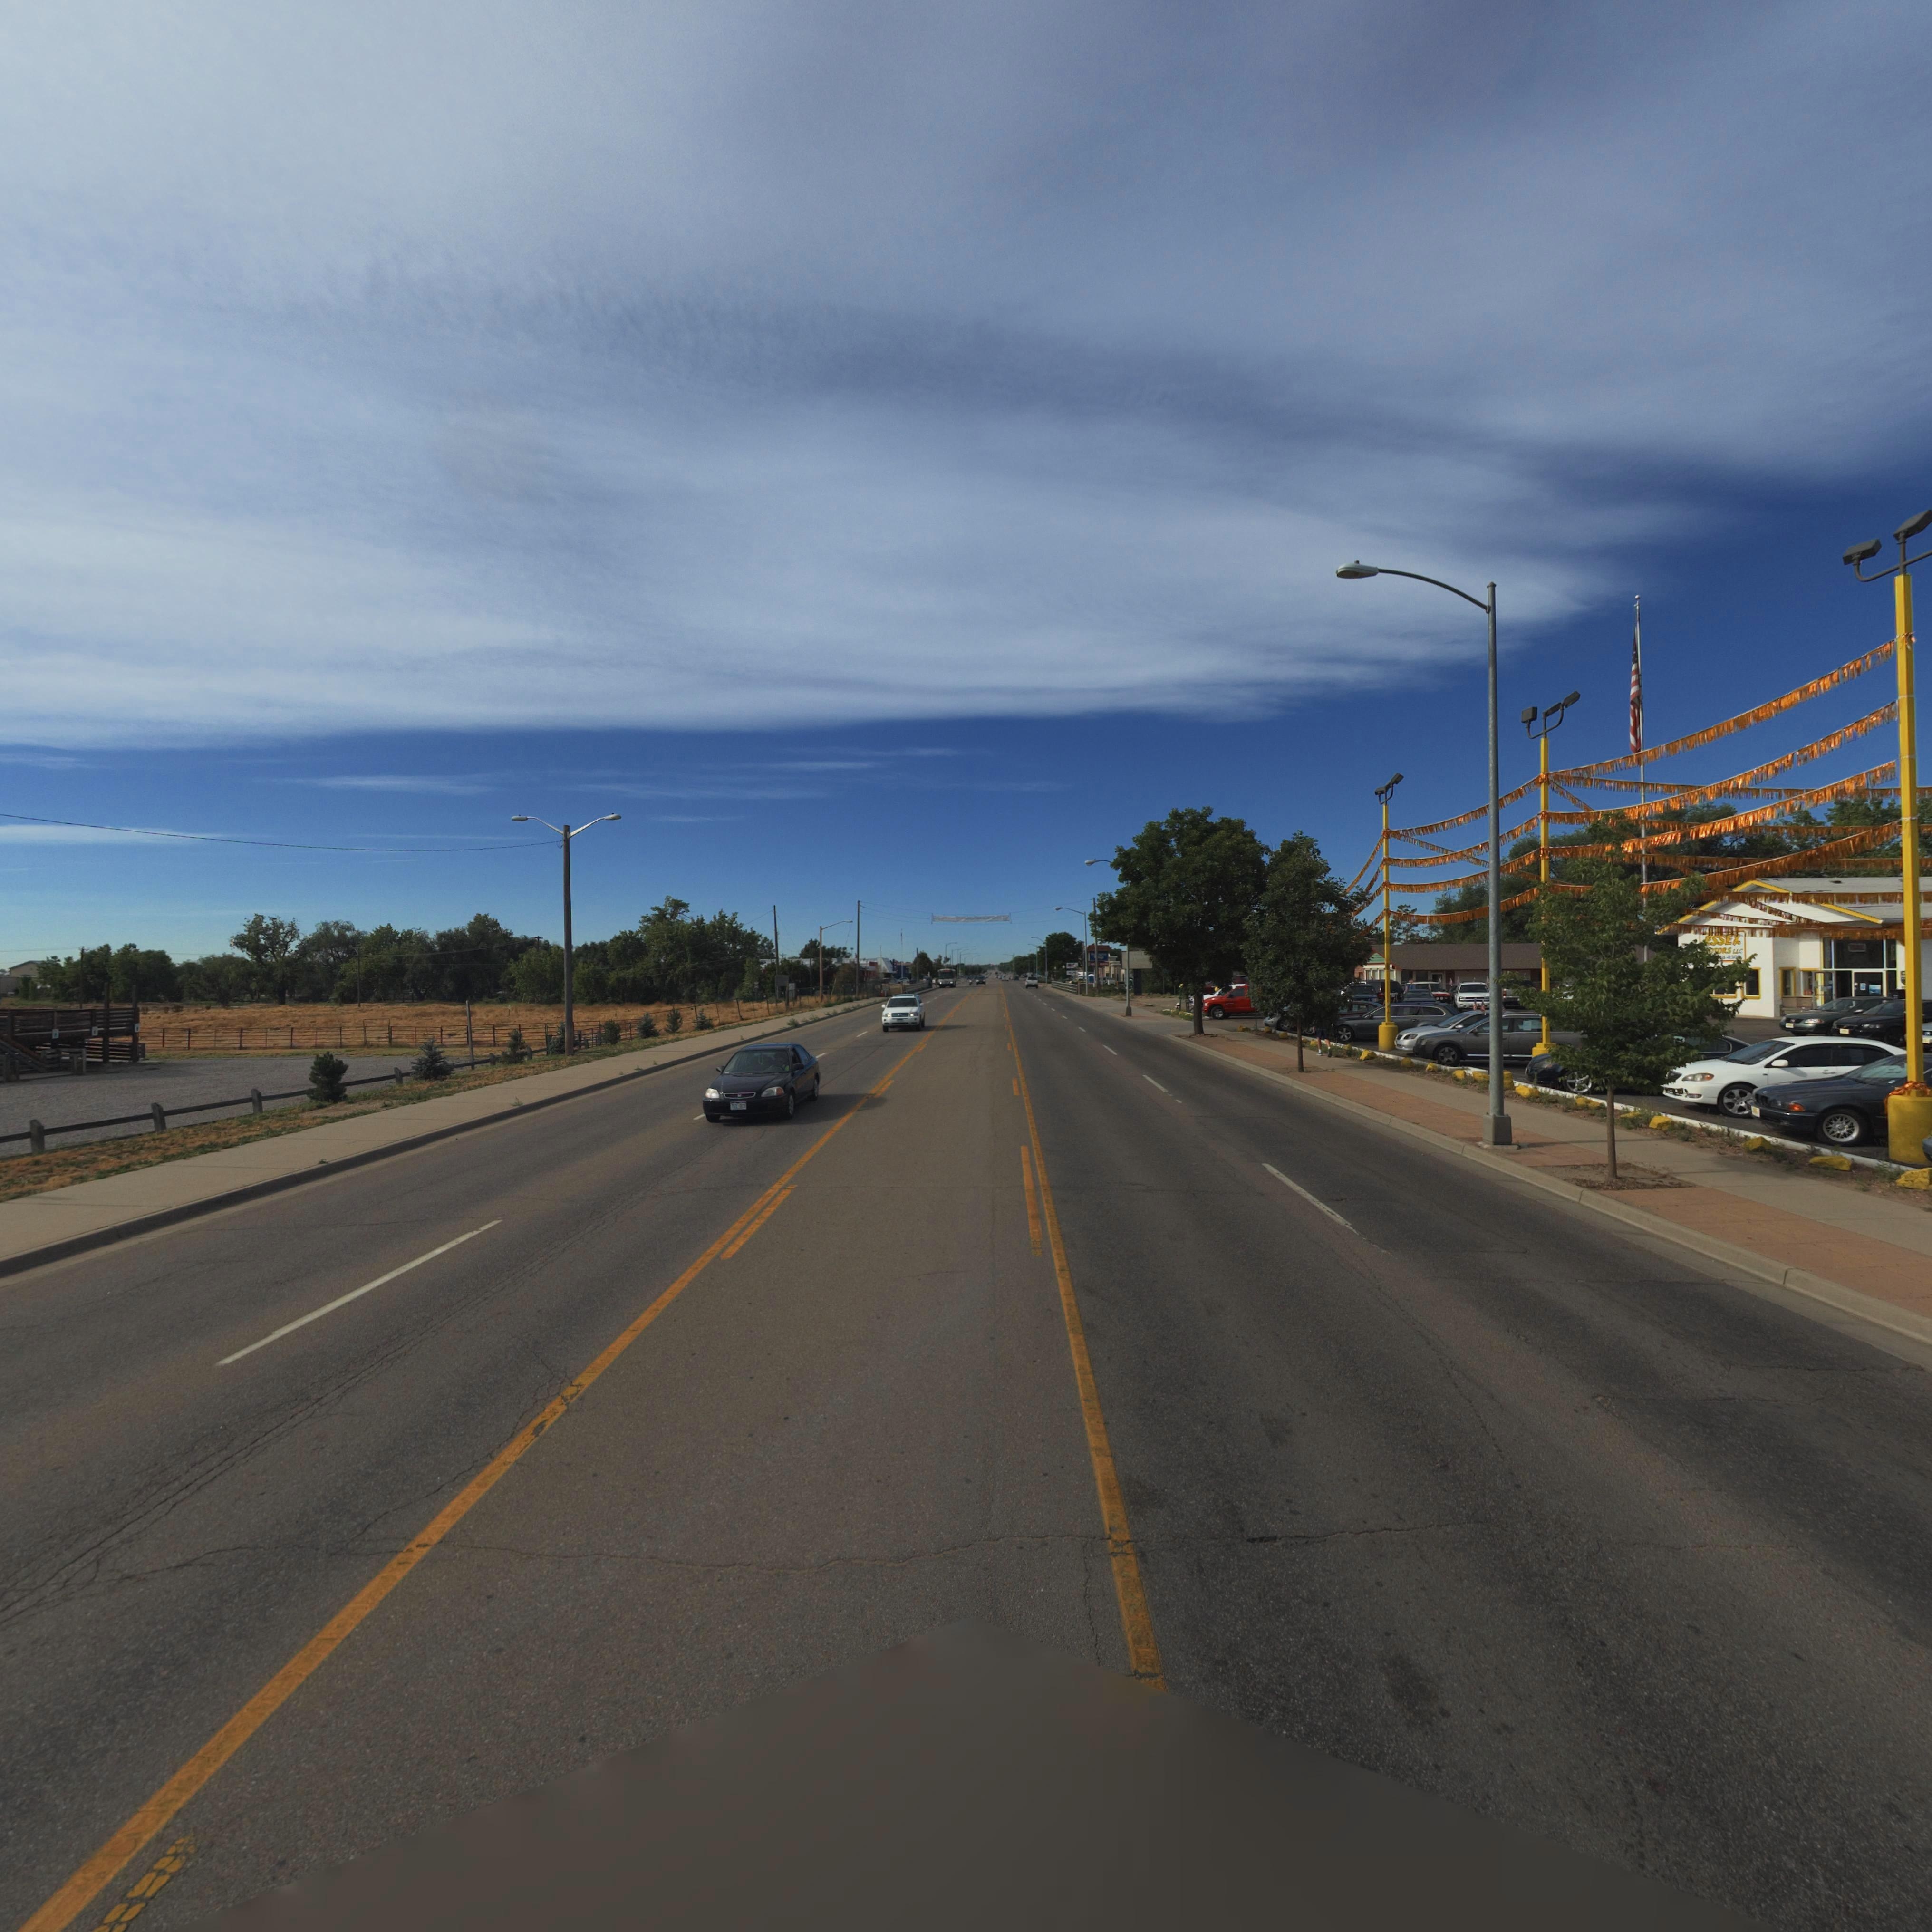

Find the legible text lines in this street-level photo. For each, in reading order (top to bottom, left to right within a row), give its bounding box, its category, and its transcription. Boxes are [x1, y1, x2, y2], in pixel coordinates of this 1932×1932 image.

[1705, 934, 1741, 946] BusinessName: ESSEX
[1715, 947, 1743, 954] BusinessName: *ORS LLC